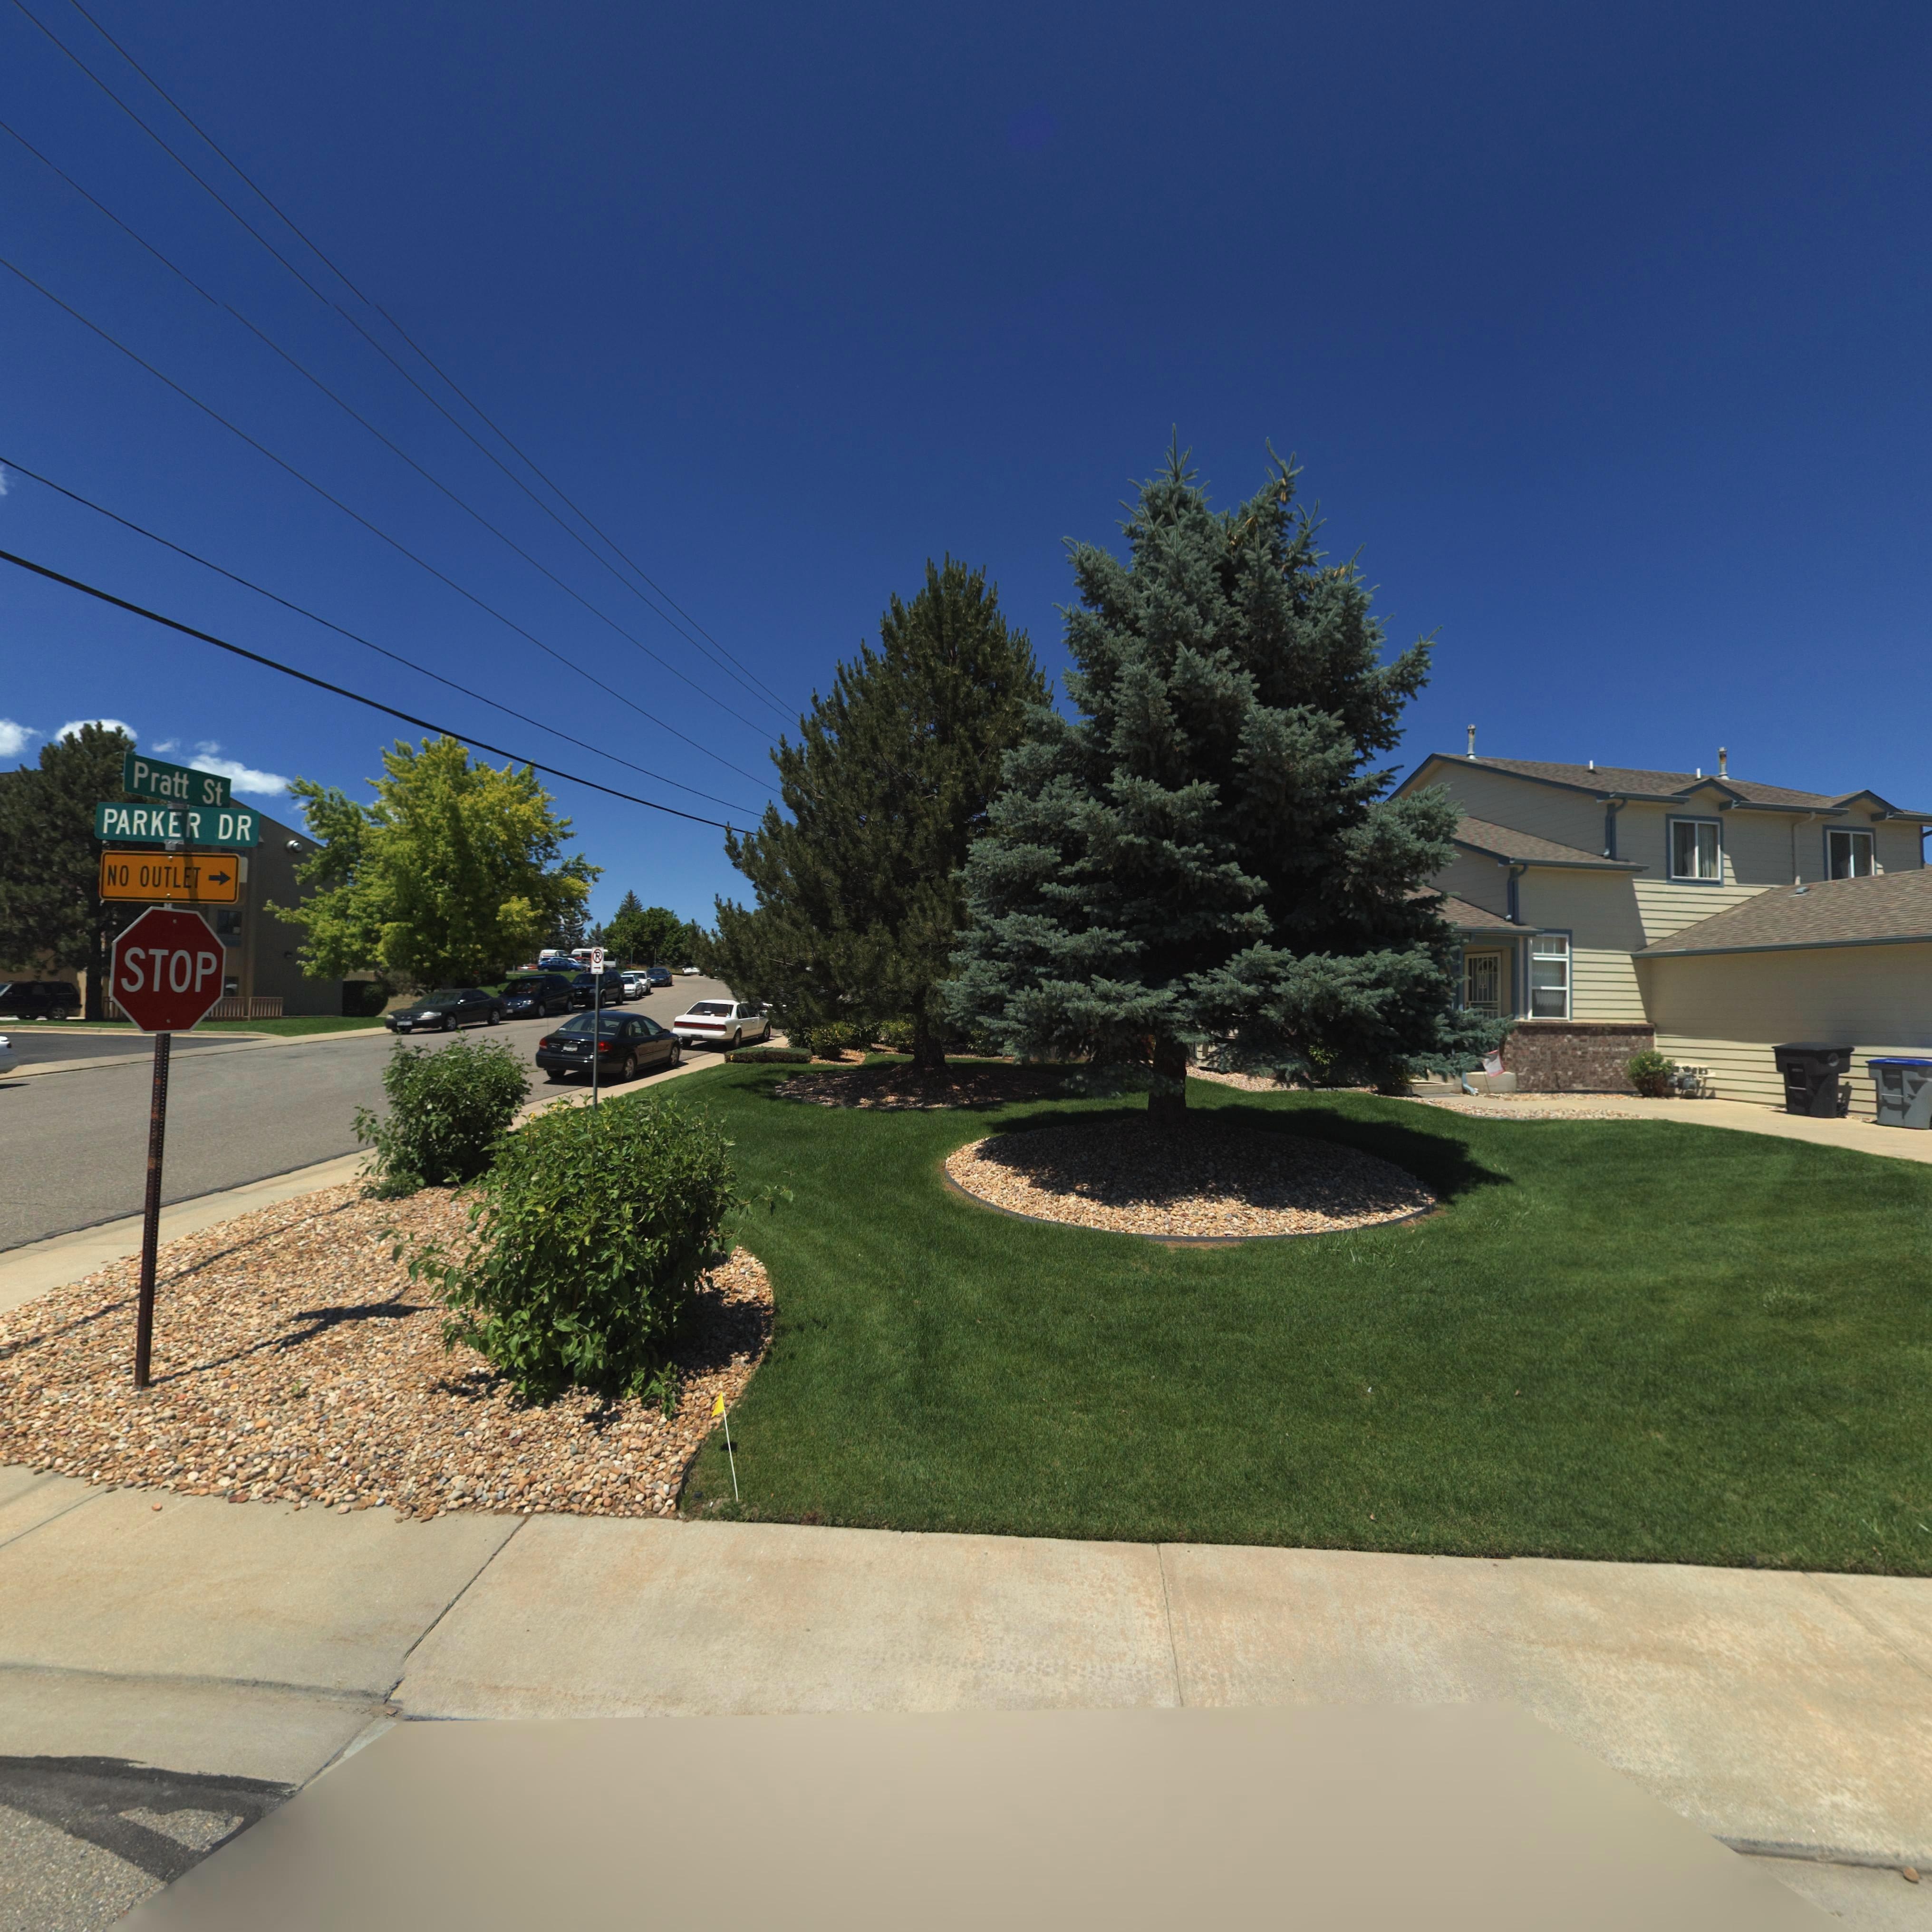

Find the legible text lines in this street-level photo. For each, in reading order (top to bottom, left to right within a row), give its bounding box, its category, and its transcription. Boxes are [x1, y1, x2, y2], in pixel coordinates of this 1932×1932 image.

[132, 759, 224, 807] StreetName: Pratt St
[102, 806, 252, 842] StreetName: PARKER DR